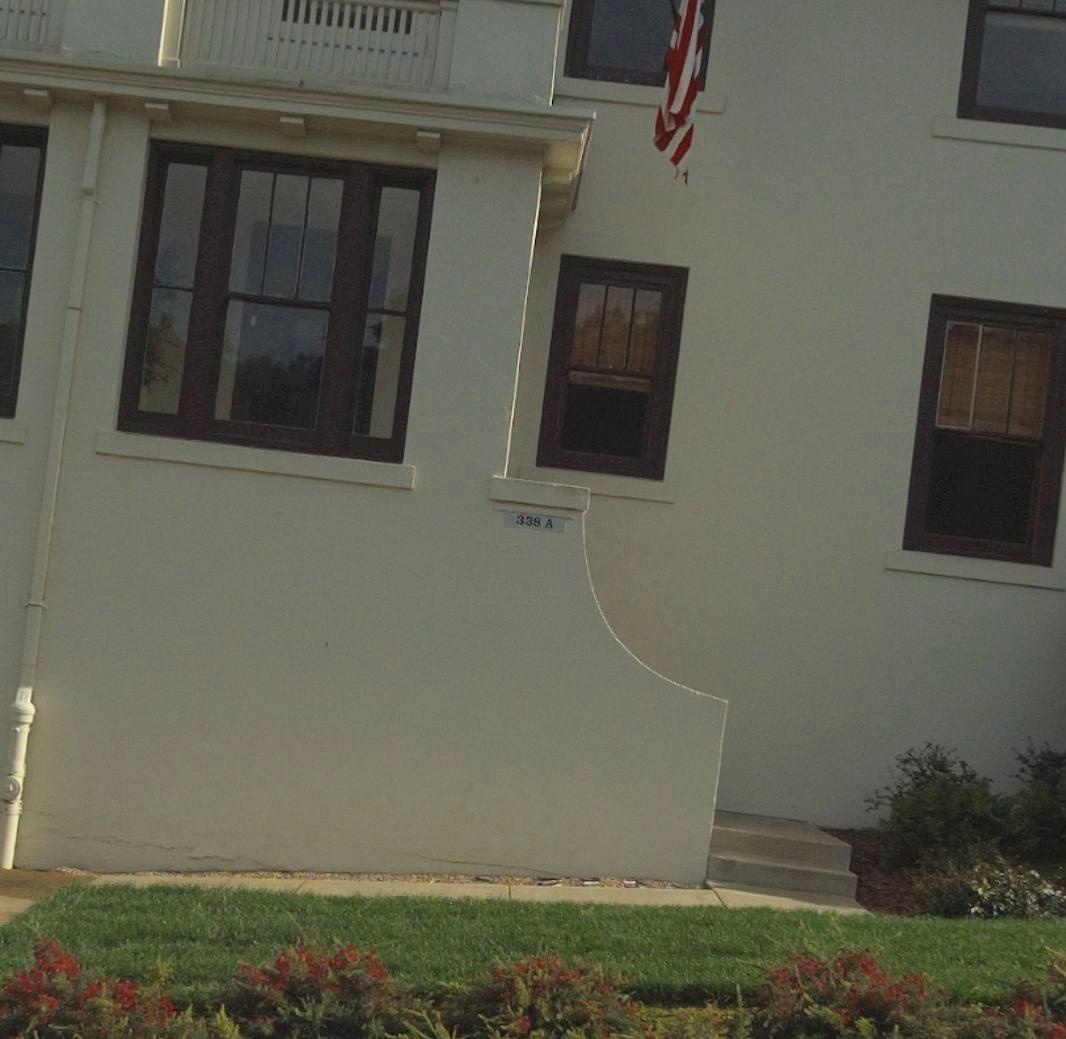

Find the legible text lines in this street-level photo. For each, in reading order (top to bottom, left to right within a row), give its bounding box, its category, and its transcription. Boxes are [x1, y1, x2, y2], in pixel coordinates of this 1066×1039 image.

[514, 513, 554, 530] StreetNumber: 338A